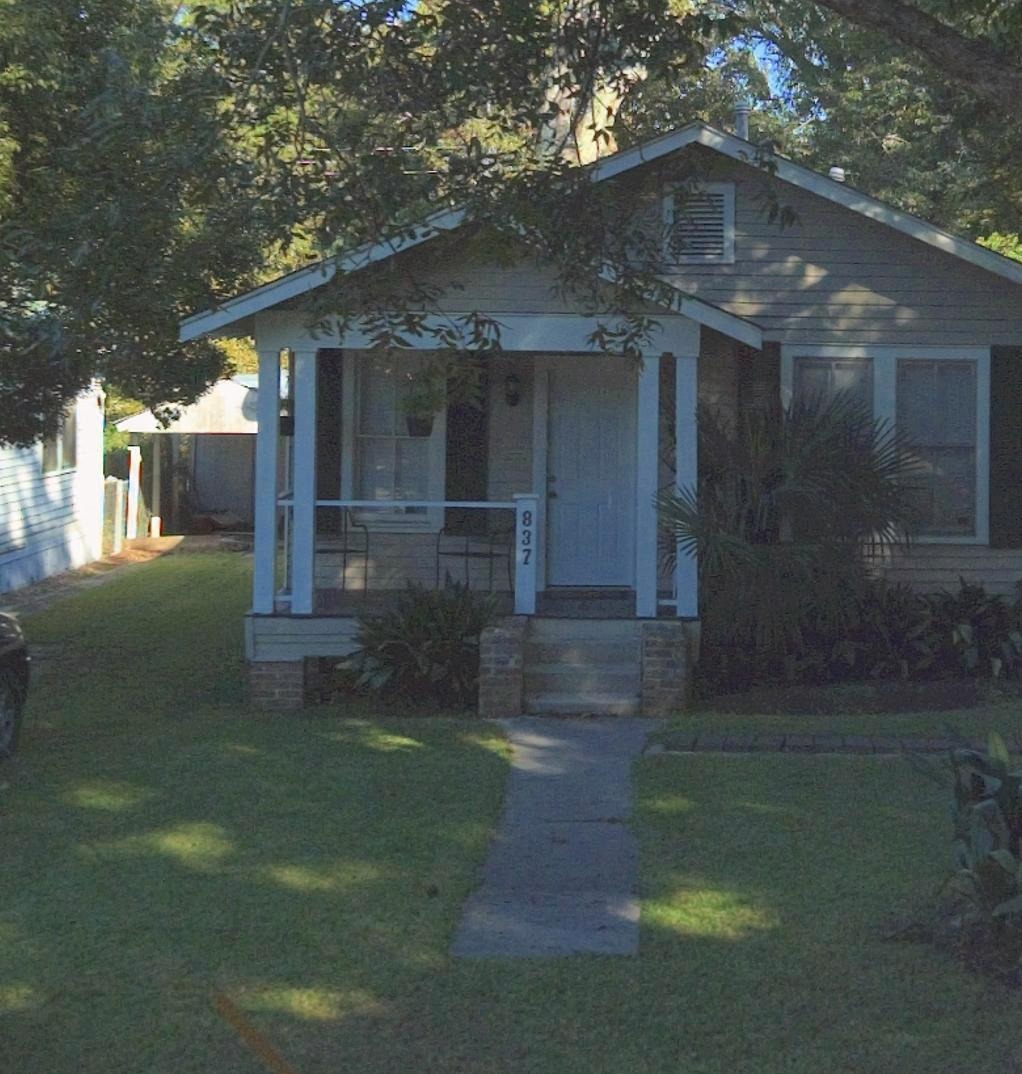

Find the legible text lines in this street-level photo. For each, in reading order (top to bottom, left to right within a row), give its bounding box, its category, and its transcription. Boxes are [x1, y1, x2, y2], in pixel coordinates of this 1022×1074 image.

[519, 508, 535, 567] StreetNumber: 837